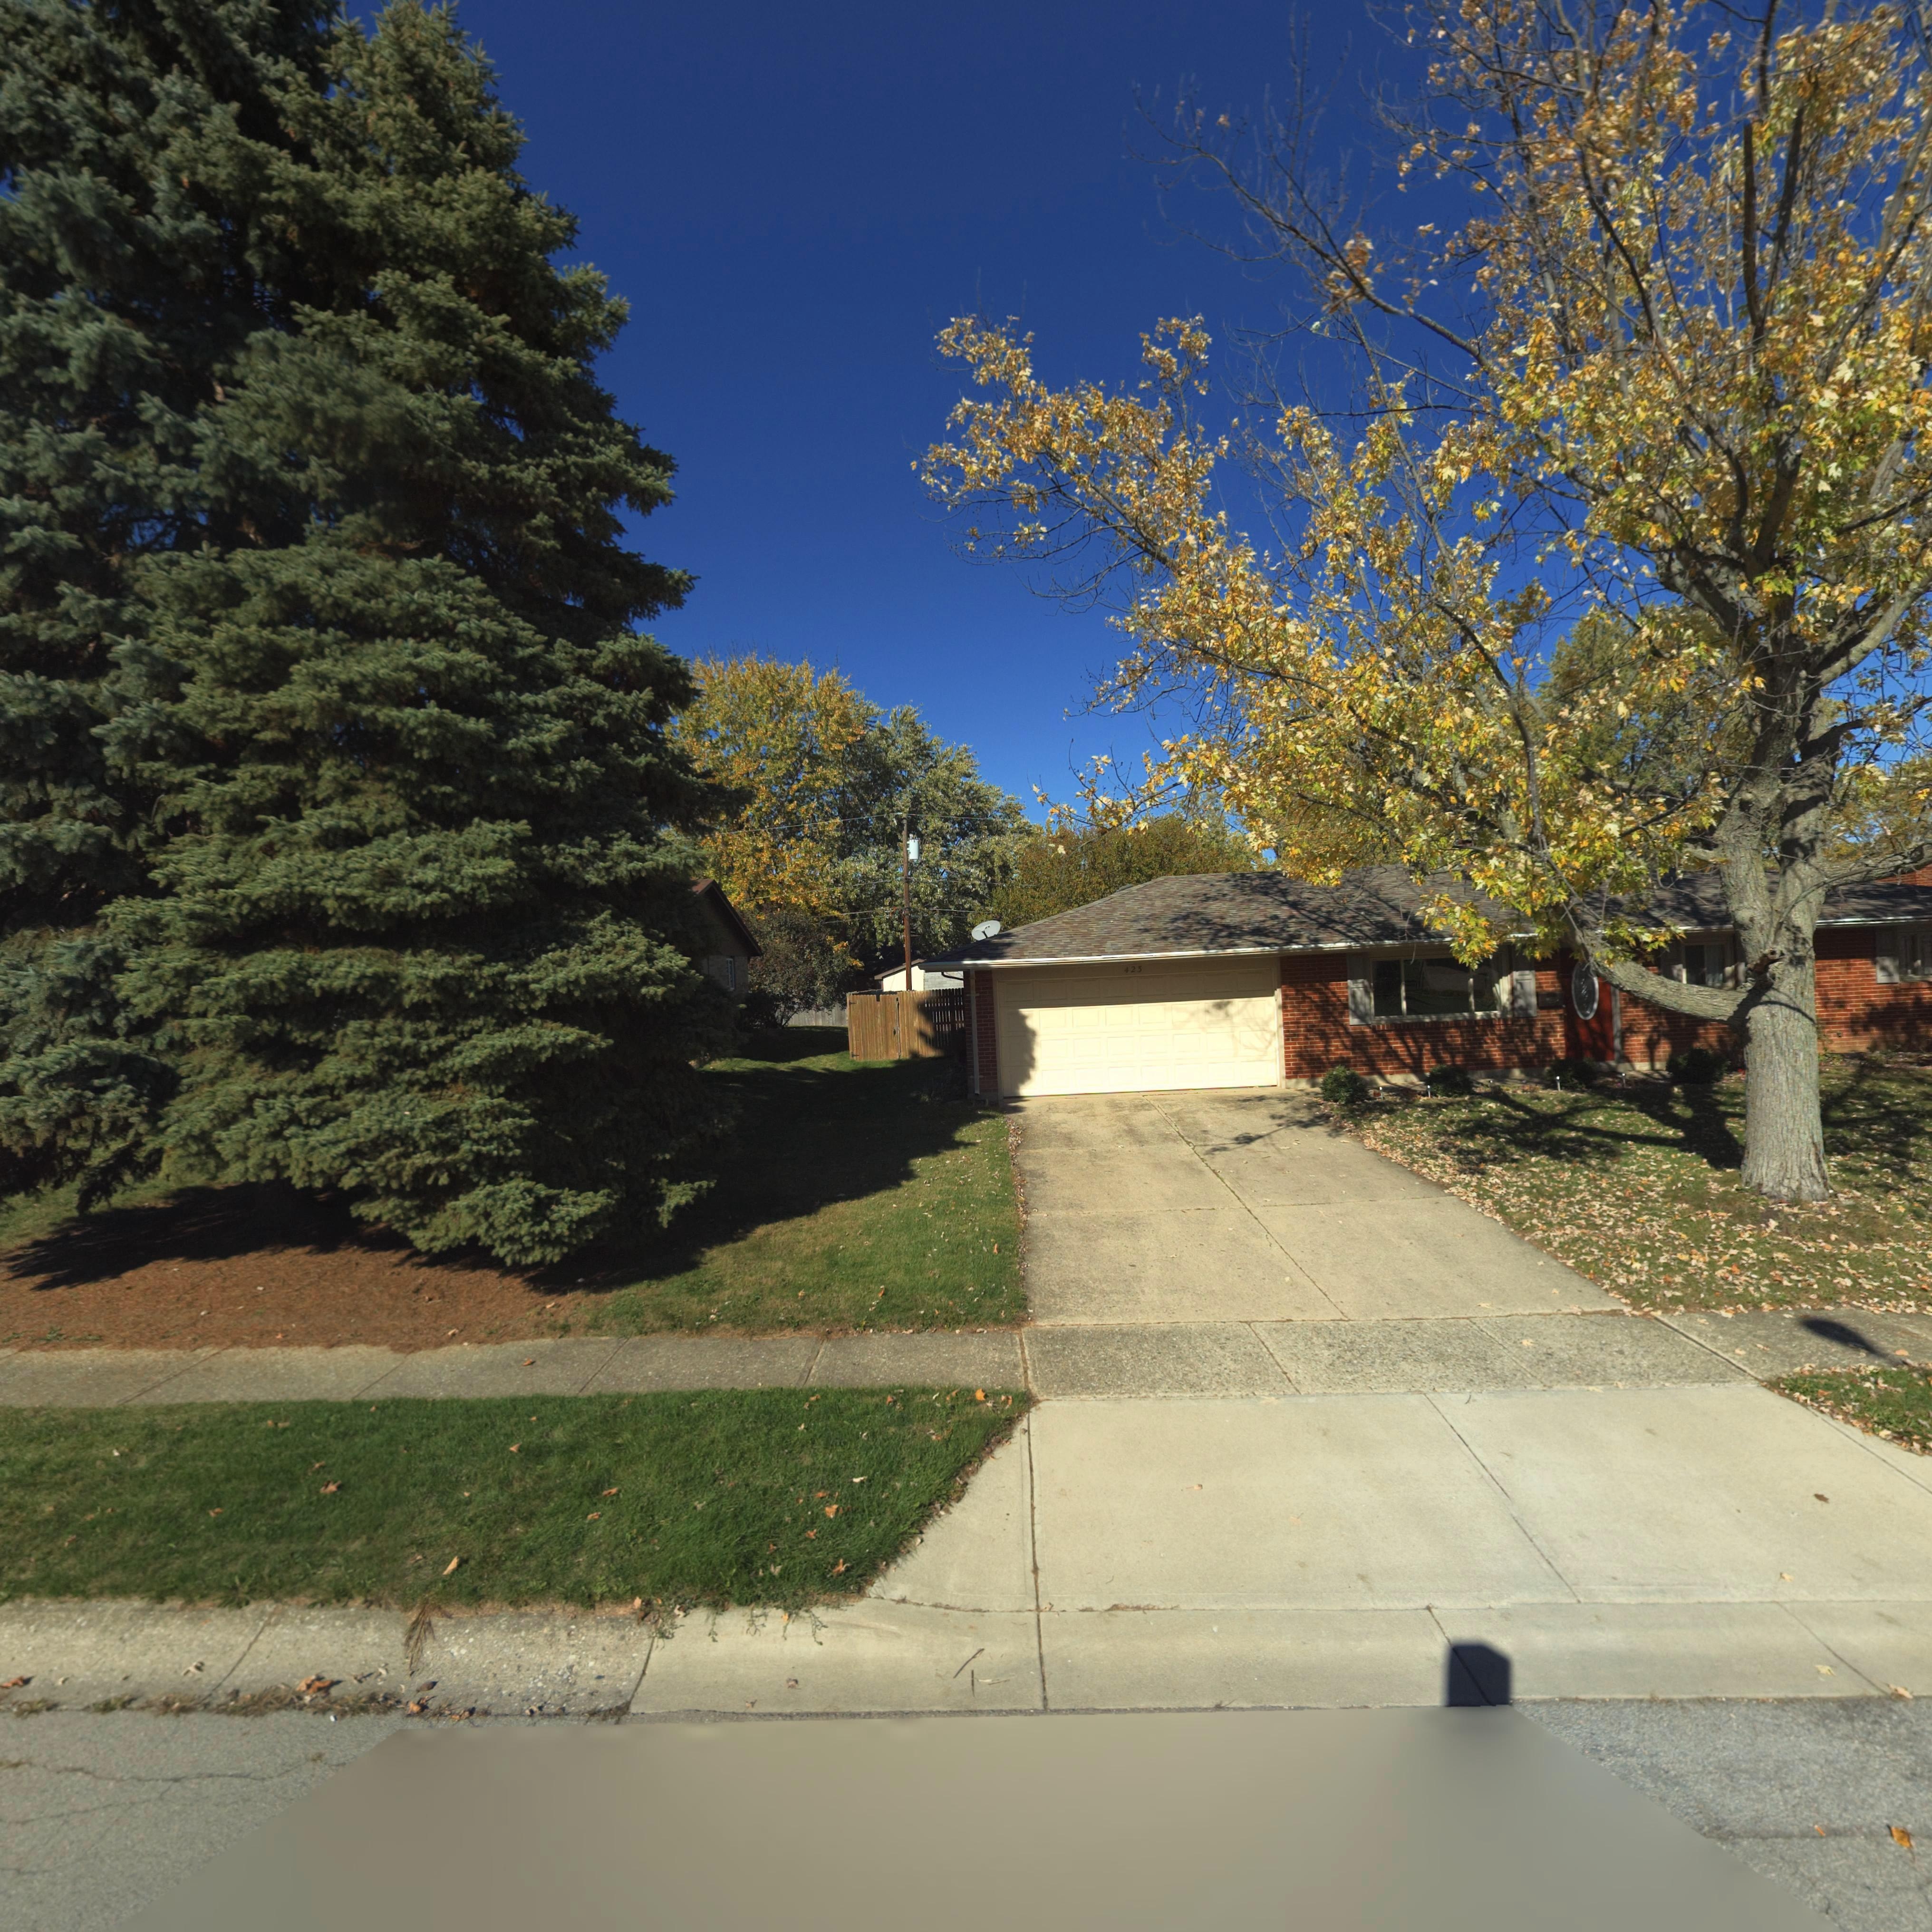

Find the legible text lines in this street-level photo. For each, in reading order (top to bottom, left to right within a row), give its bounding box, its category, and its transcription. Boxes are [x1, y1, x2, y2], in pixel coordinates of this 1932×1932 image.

[1123, 965, 1143, 975] StreetNumber: 423